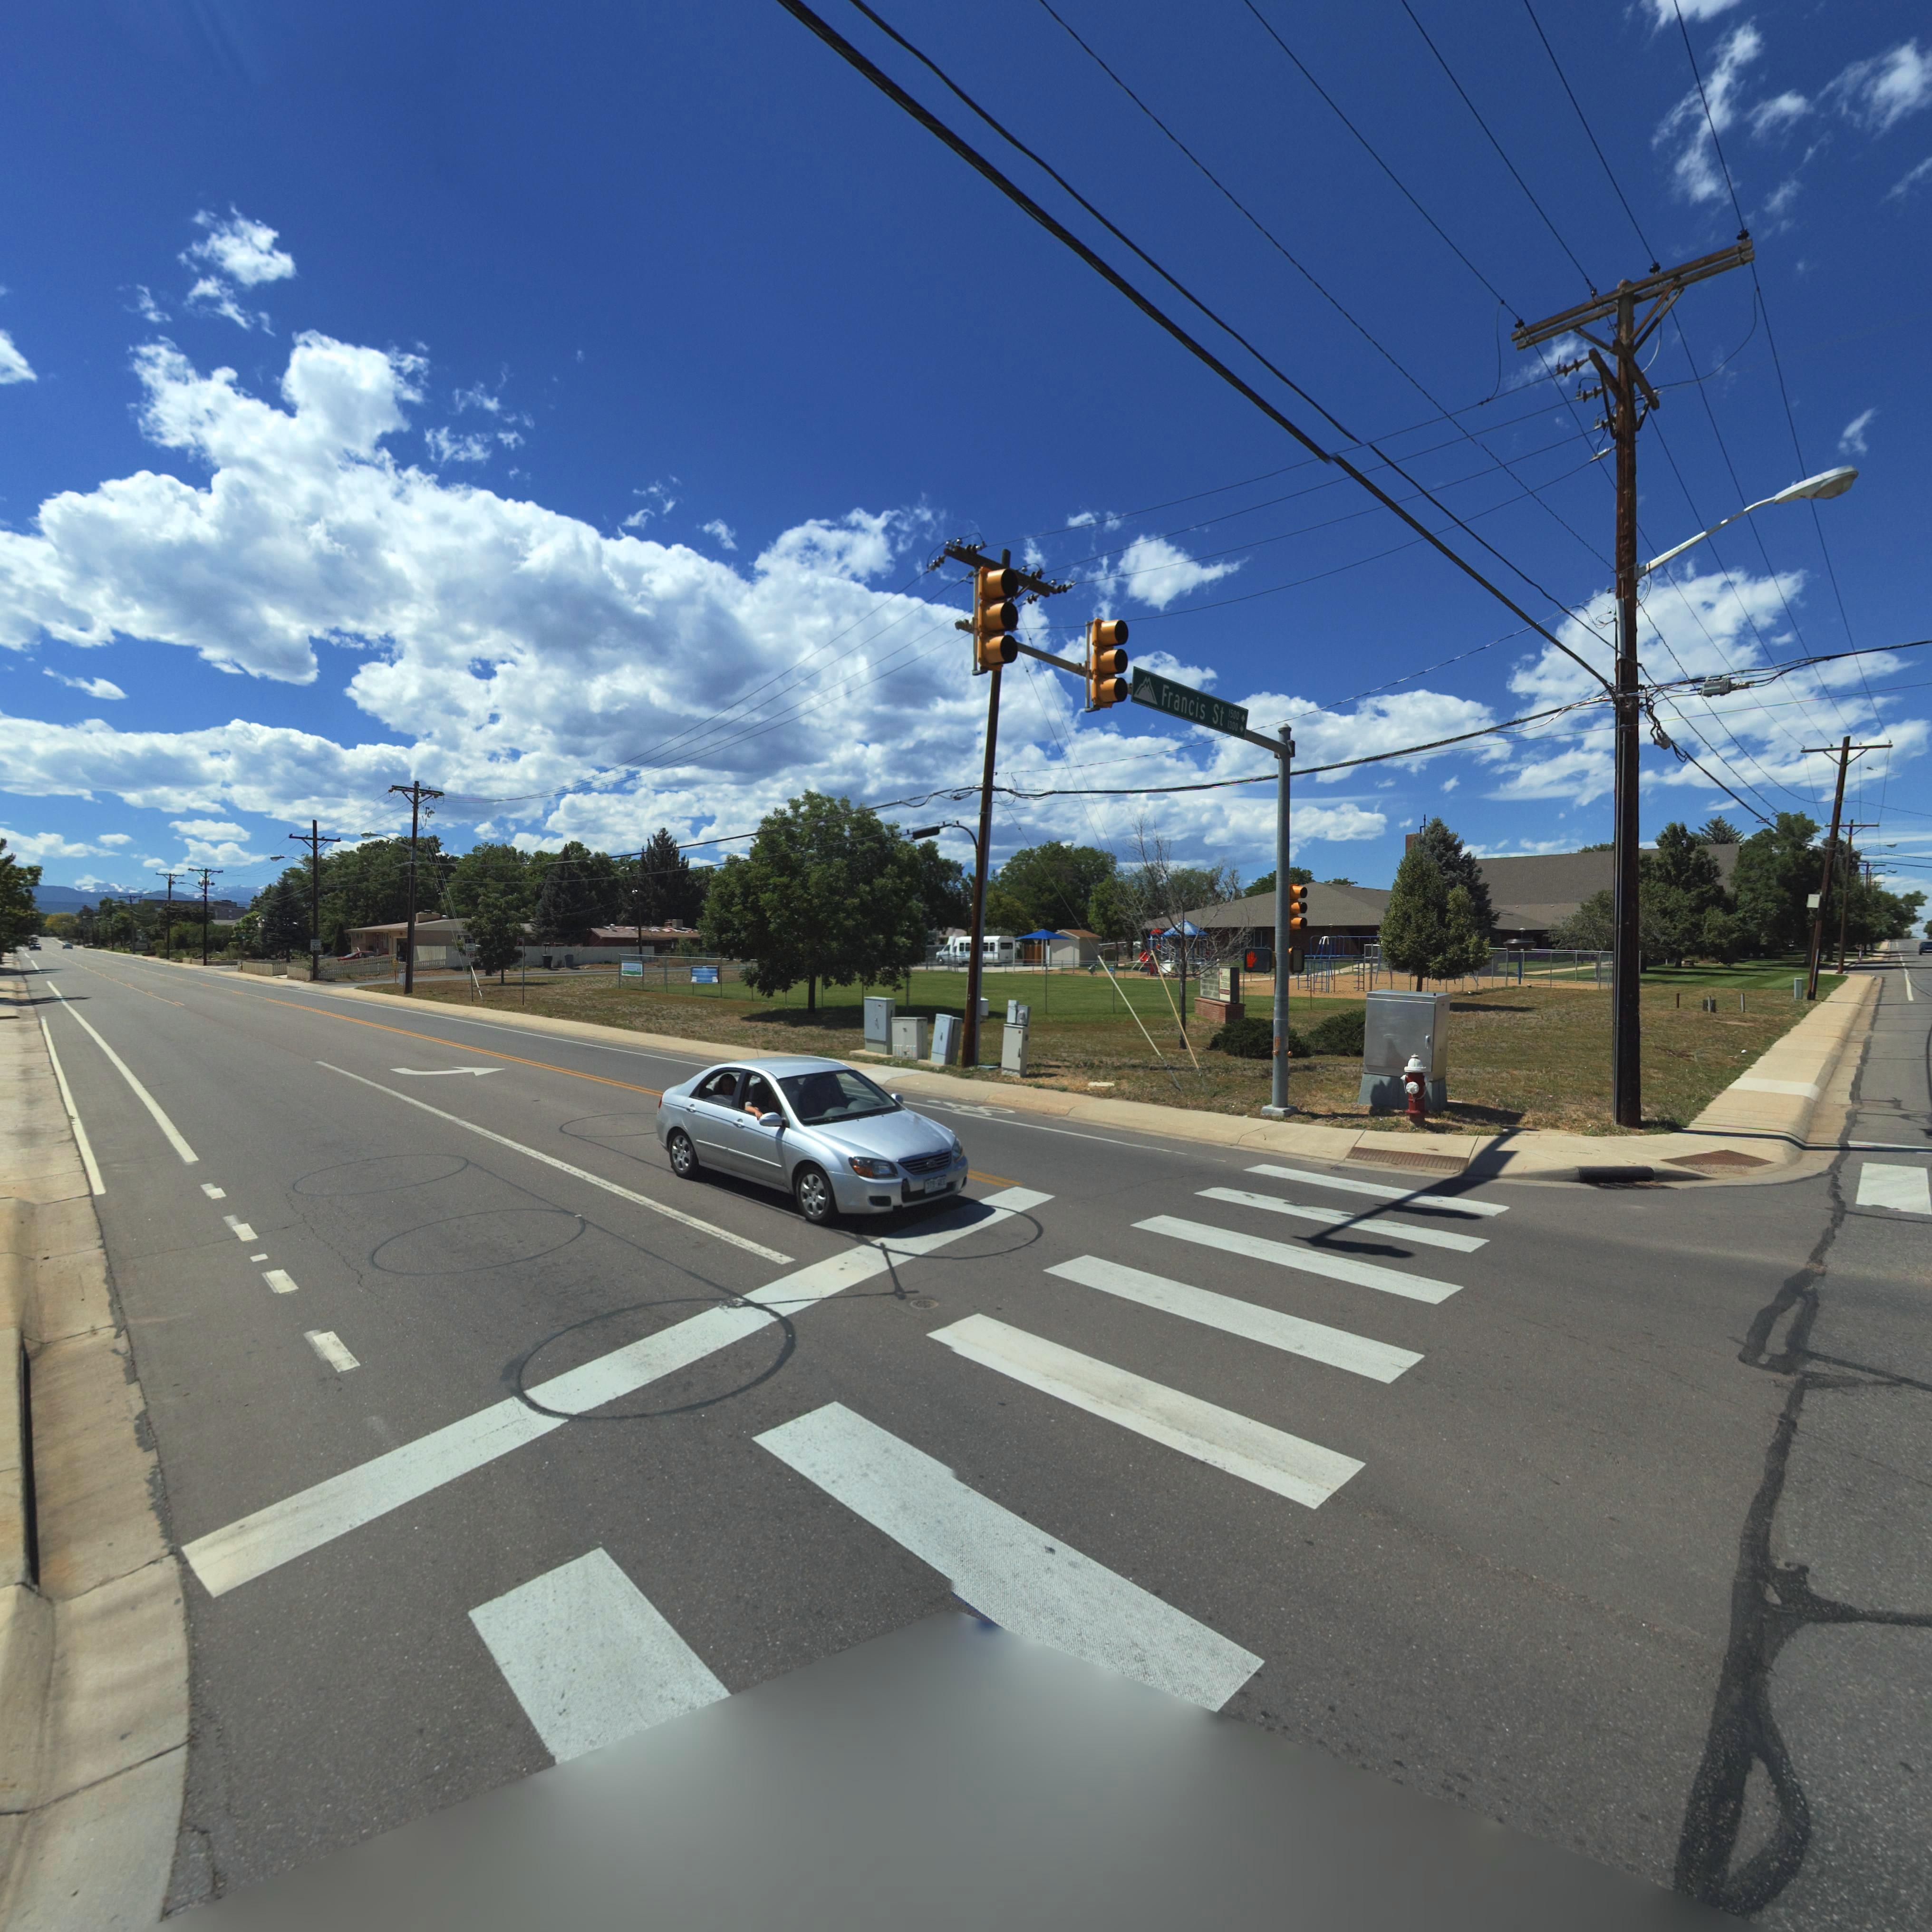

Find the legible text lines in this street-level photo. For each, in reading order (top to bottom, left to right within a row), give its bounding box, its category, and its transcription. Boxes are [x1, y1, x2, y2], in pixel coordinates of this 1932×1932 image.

[1161, 683, 1224, 726] StreetName: Francis St
[1227, 708, 1239, 720] StreetNumberRange: 1500
[1227, 719, 1244, 733] StreetNumberRange: 1300->